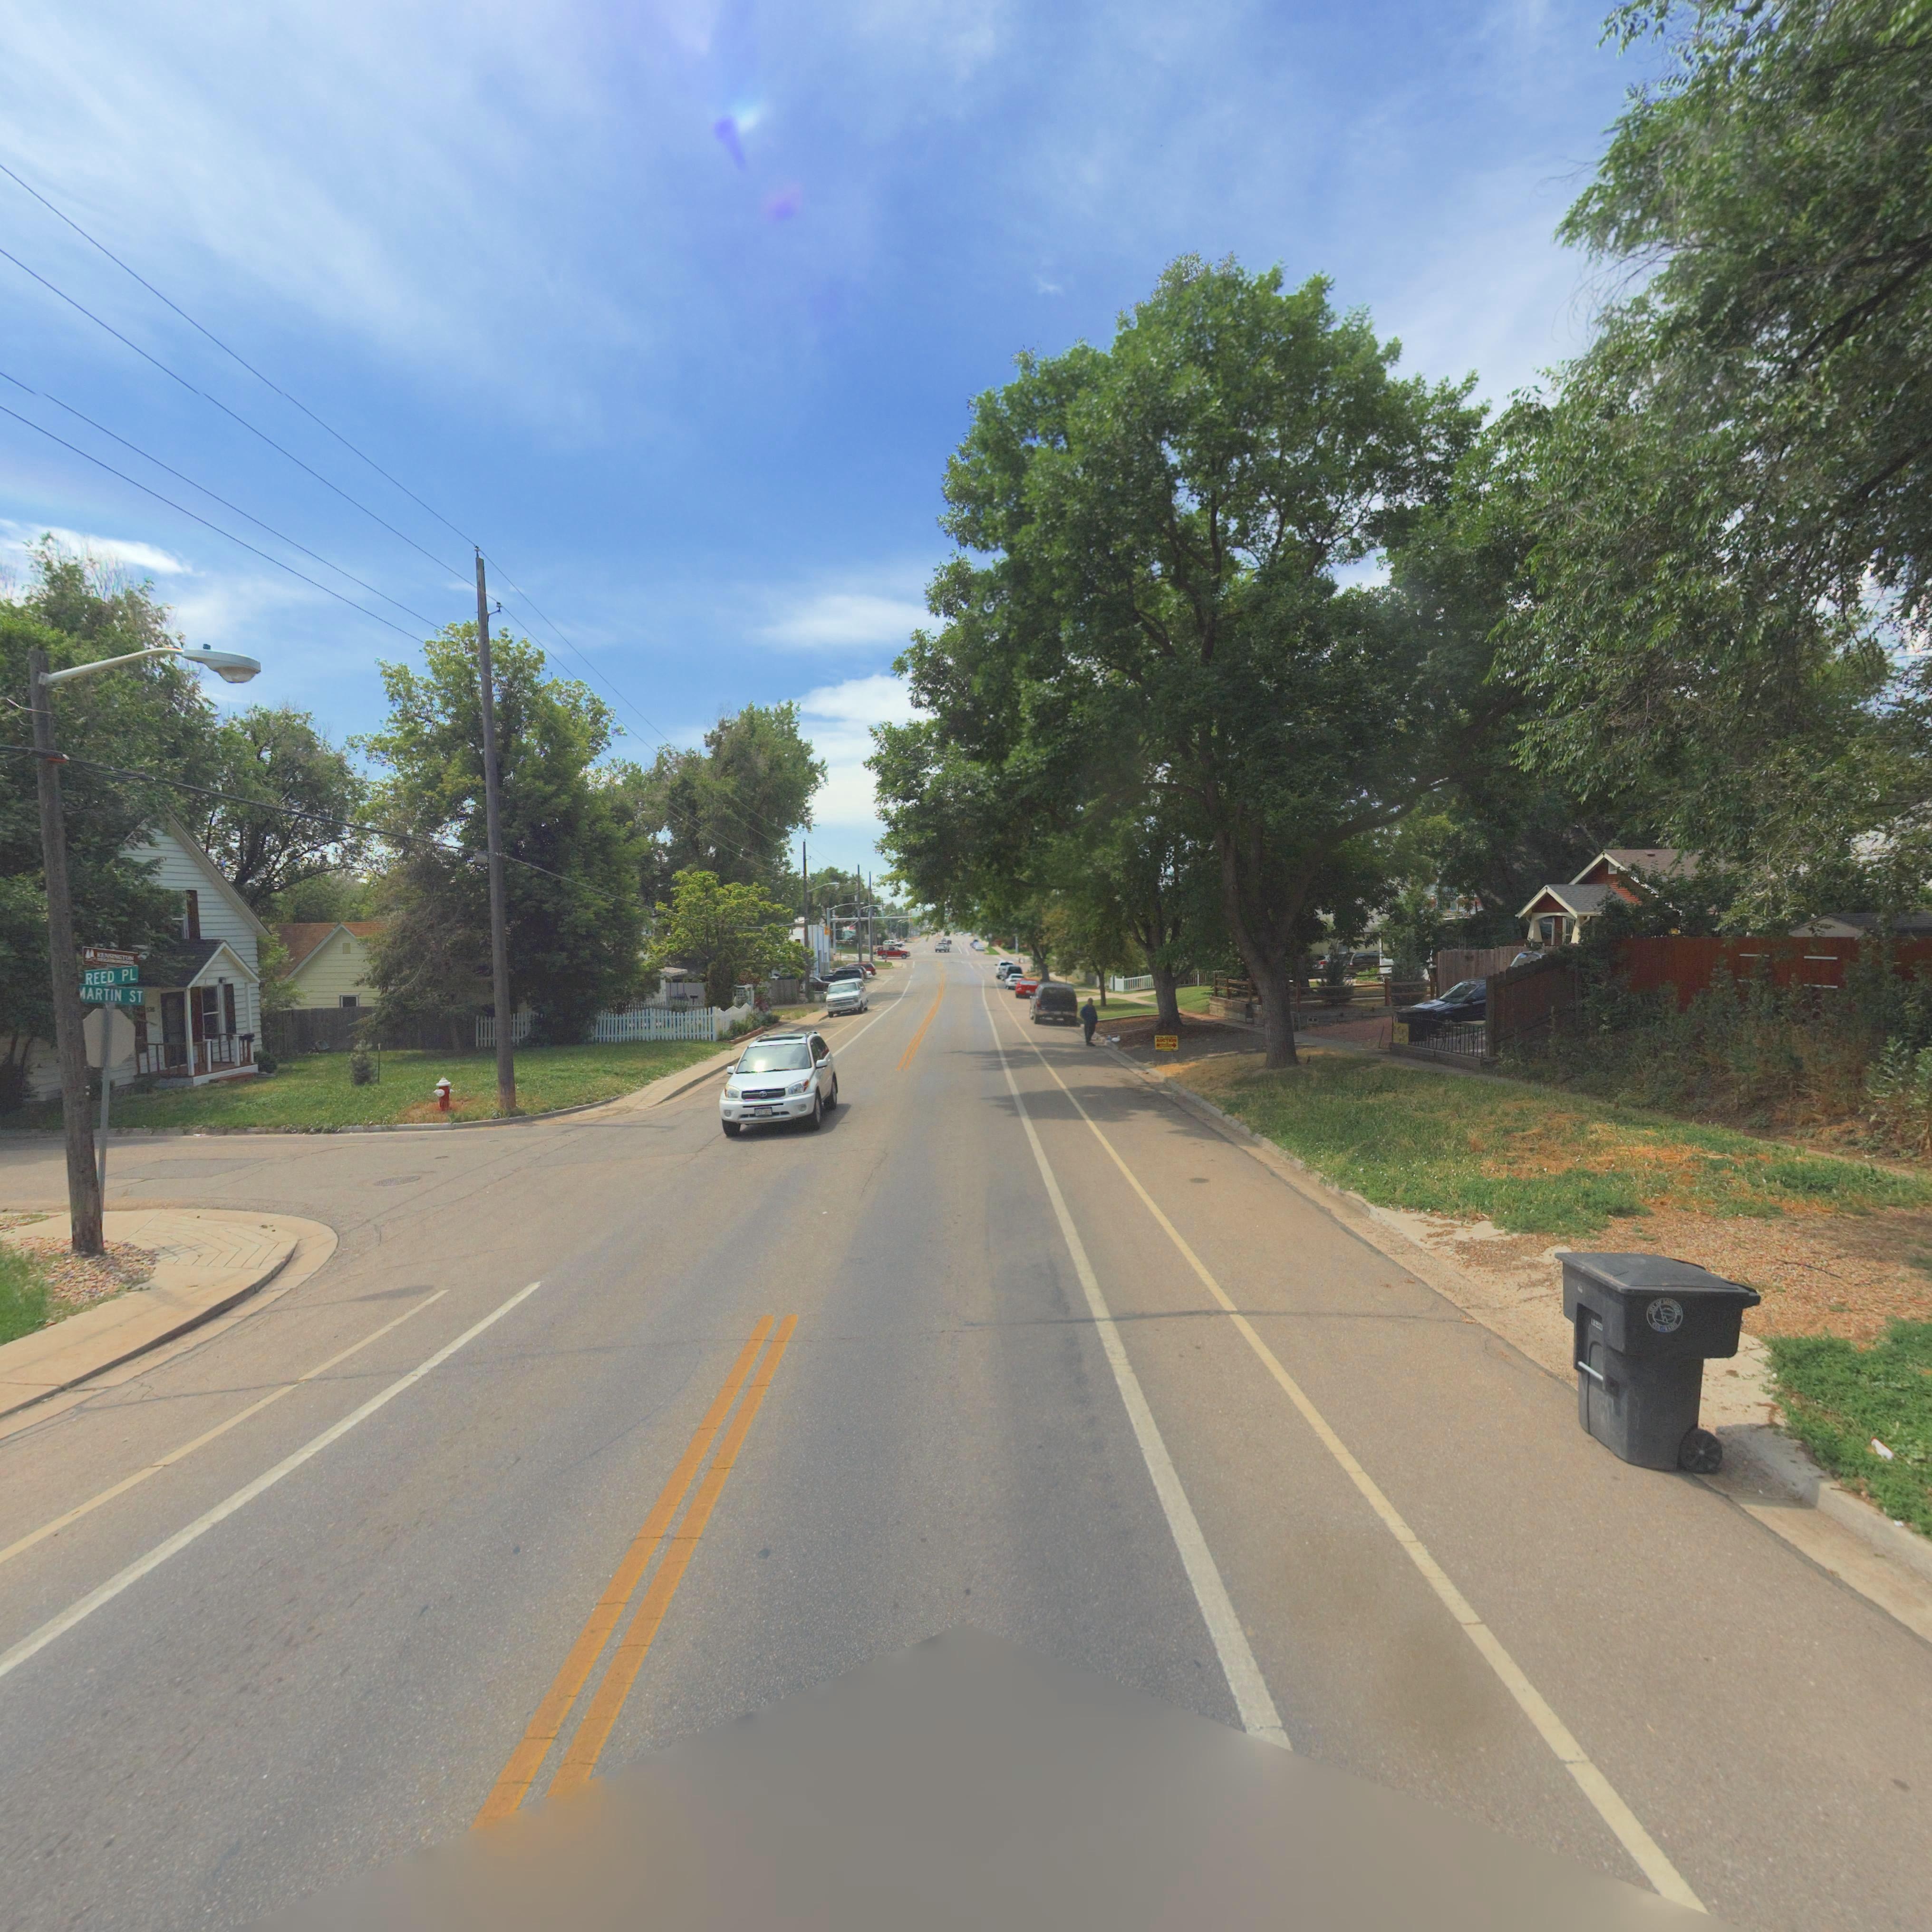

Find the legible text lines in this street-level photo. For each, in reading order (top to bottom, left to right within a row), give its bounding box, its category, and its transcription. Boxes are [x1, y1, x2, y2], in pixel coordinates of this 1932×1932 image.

[84, 966, 138, 986] StreetName: *REED PL
[79, 985, 143, 1005] StreetName: MARTIN ST